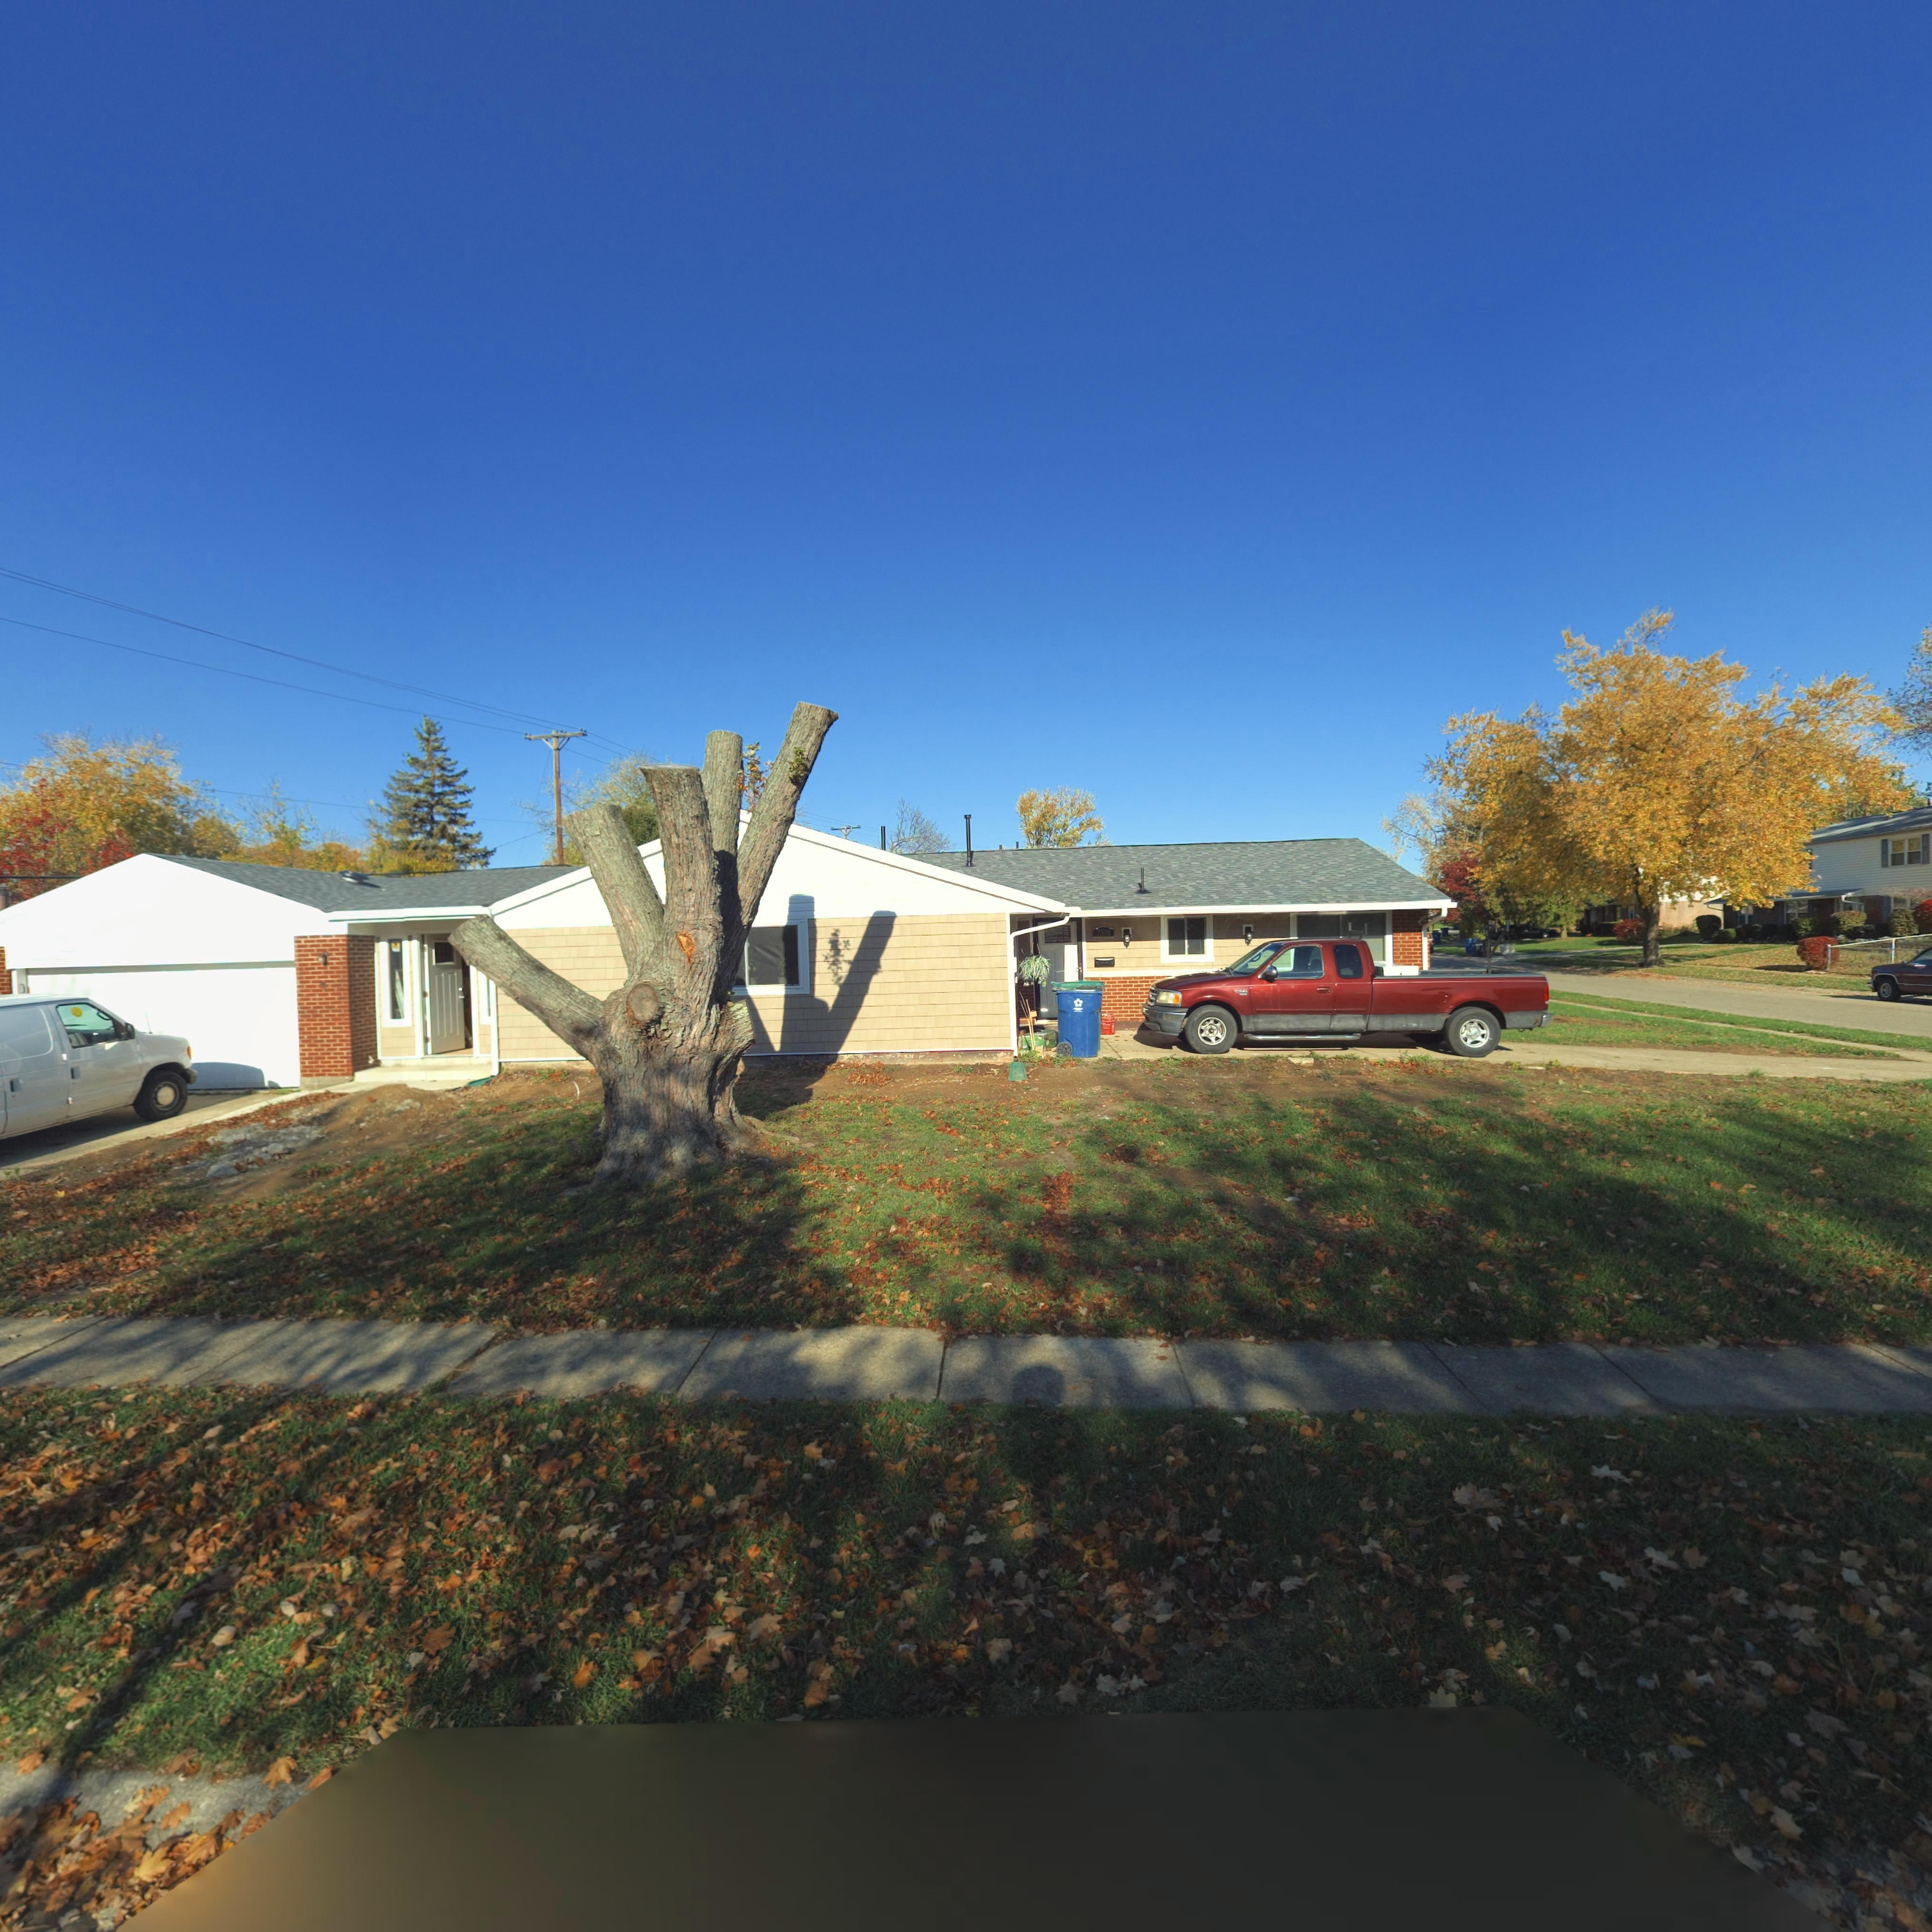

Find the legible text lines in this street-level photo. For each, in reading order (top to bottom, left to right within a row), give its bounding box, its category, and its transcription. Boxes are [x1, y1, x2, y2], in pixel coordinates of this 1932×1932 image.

[1095, 928, 1111, 937] StreetNumber: 7500